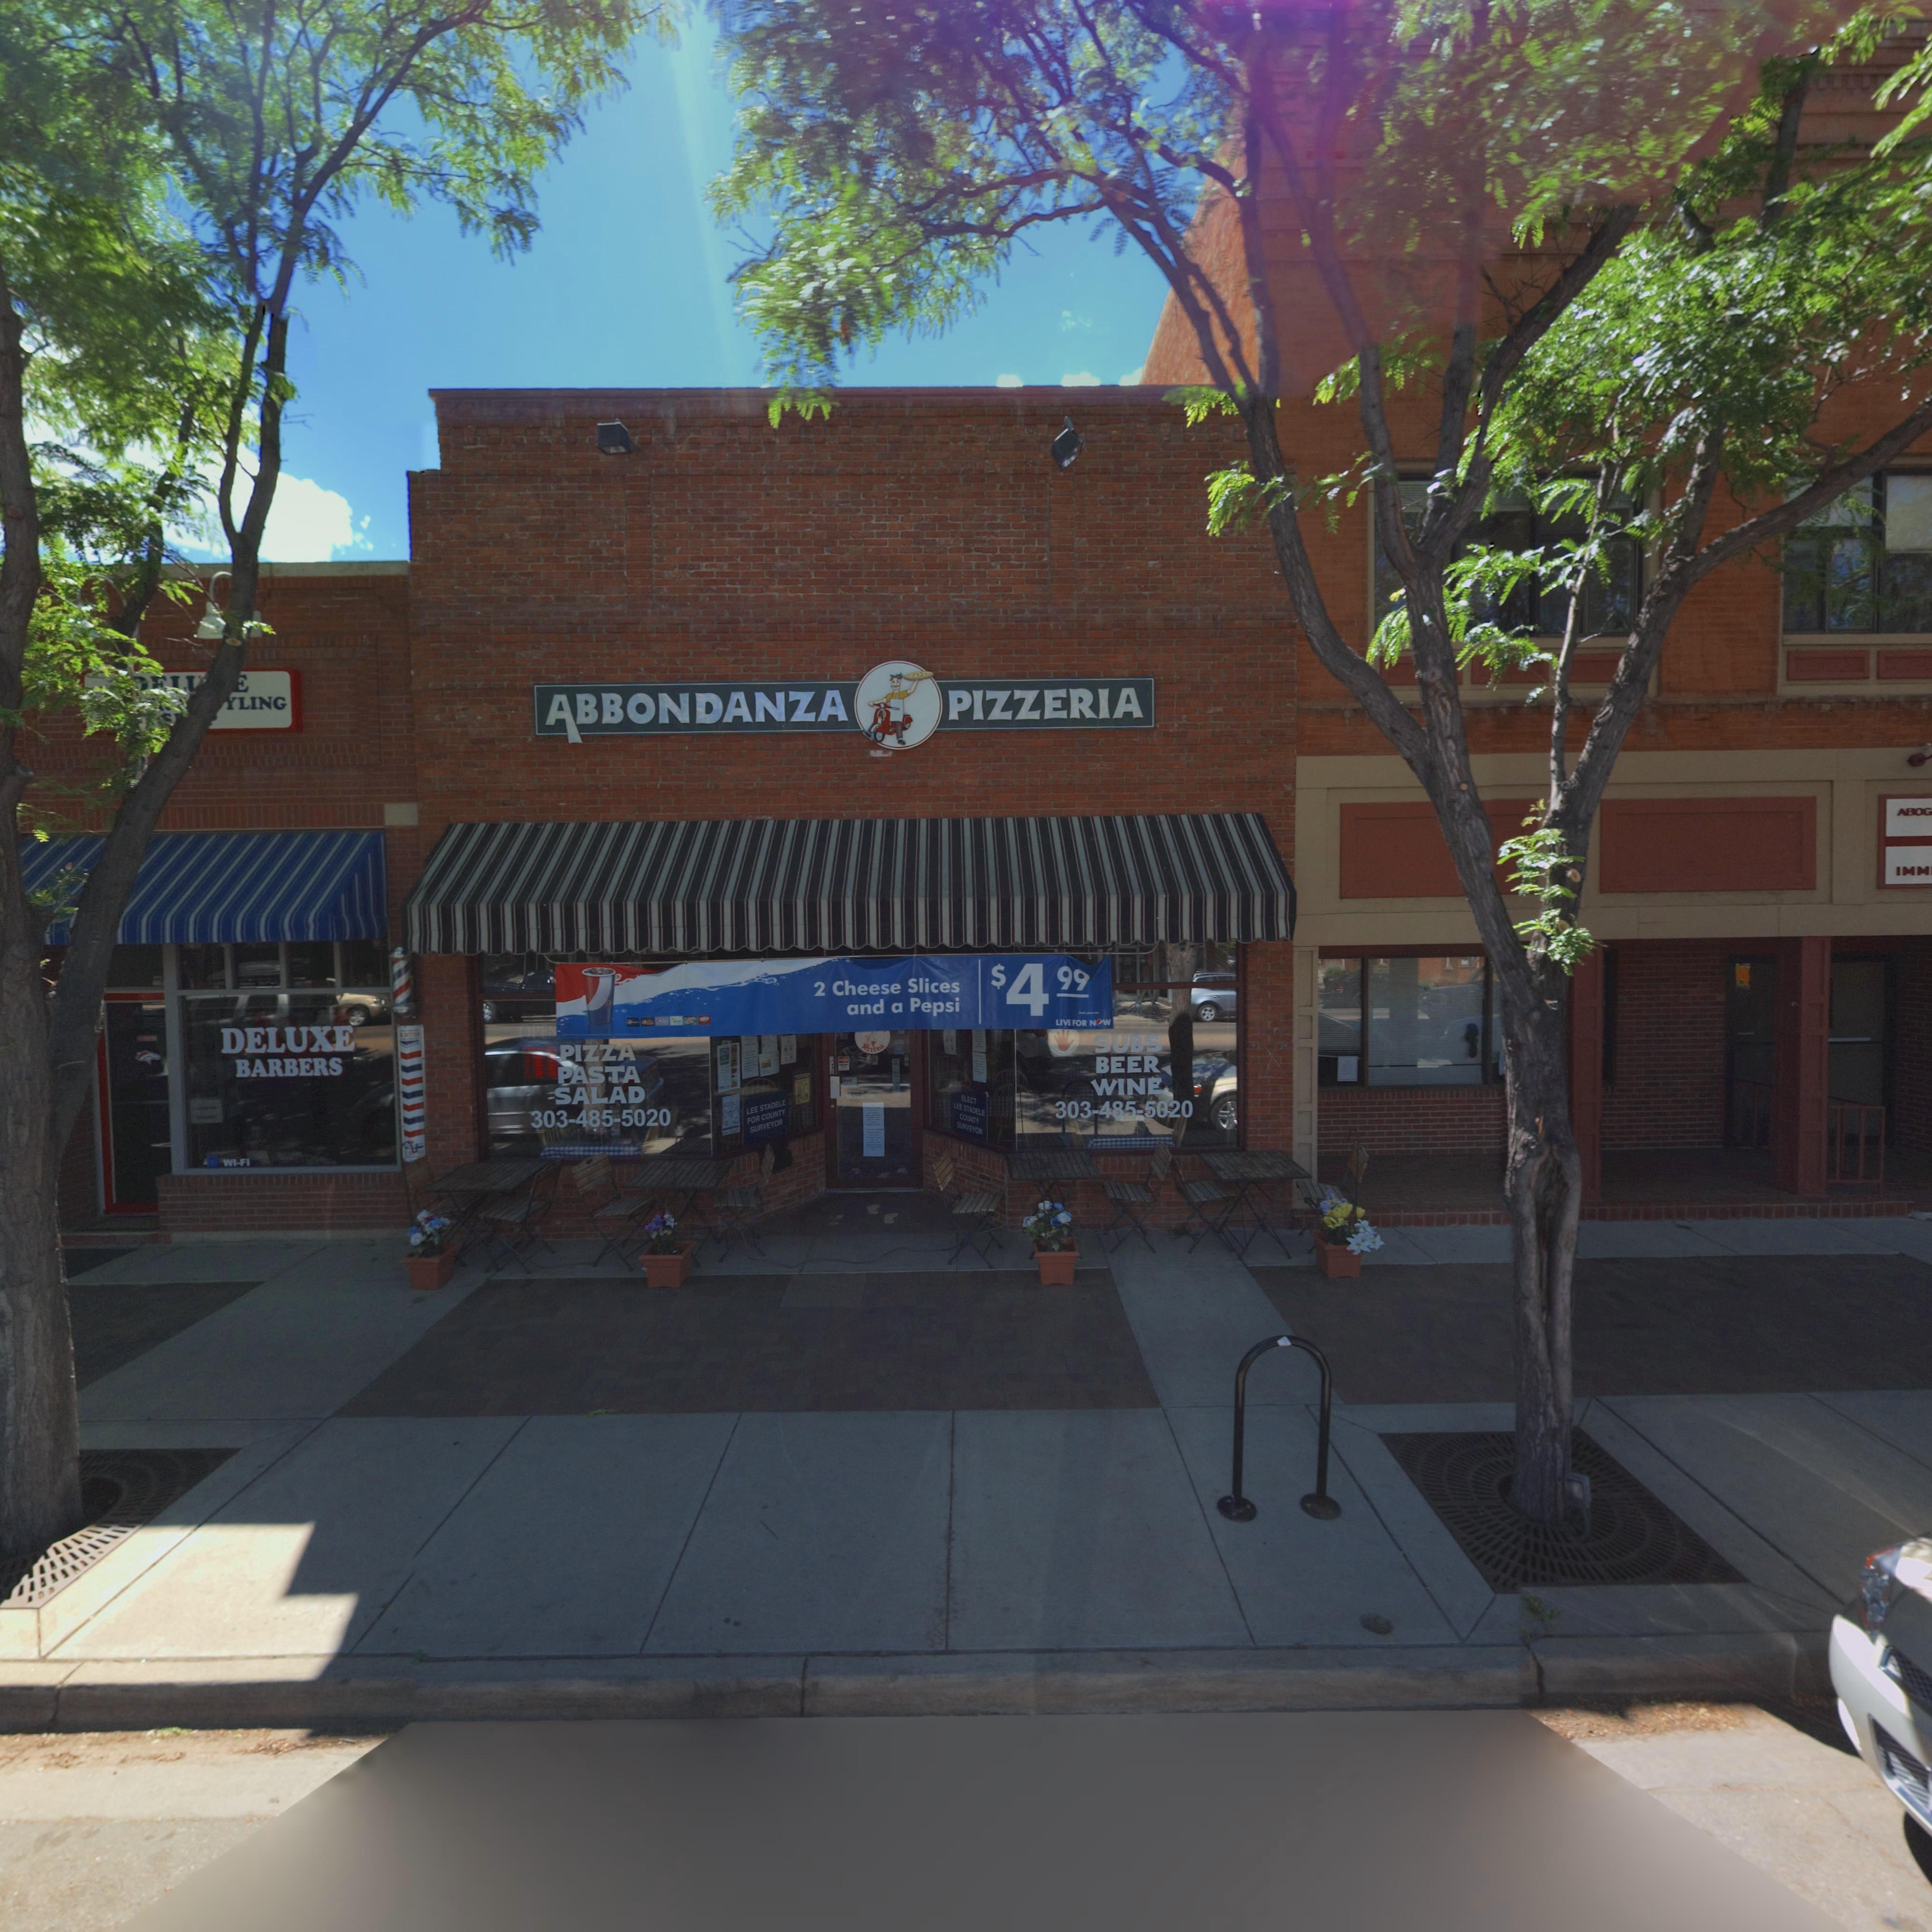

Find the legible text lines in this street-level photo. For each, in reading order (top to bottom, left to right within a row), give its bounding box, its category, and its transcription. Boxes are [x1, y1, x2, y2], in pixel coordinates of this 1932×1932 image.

[232, 673, 249, 693] BusinessName: E
[225, 695, 288, 711] None: YLING
[947, 686, 1145, 721] BusinessName: PIZZERIA
[544, 688, 849, 745] BusinessName: ABBONDANZA
[1895, 807, 1932, 817] BusinessName: ABOG
[1893, 864, 1931, 876] BusinessName: IMM
[220, 1024, 356, 1054] BusinessName: DELUXE
[861, 1044, 885, 1052] BusinessName: PIZZERIA
[233, 1056, 344, 1078] BusinessName: BARBERS